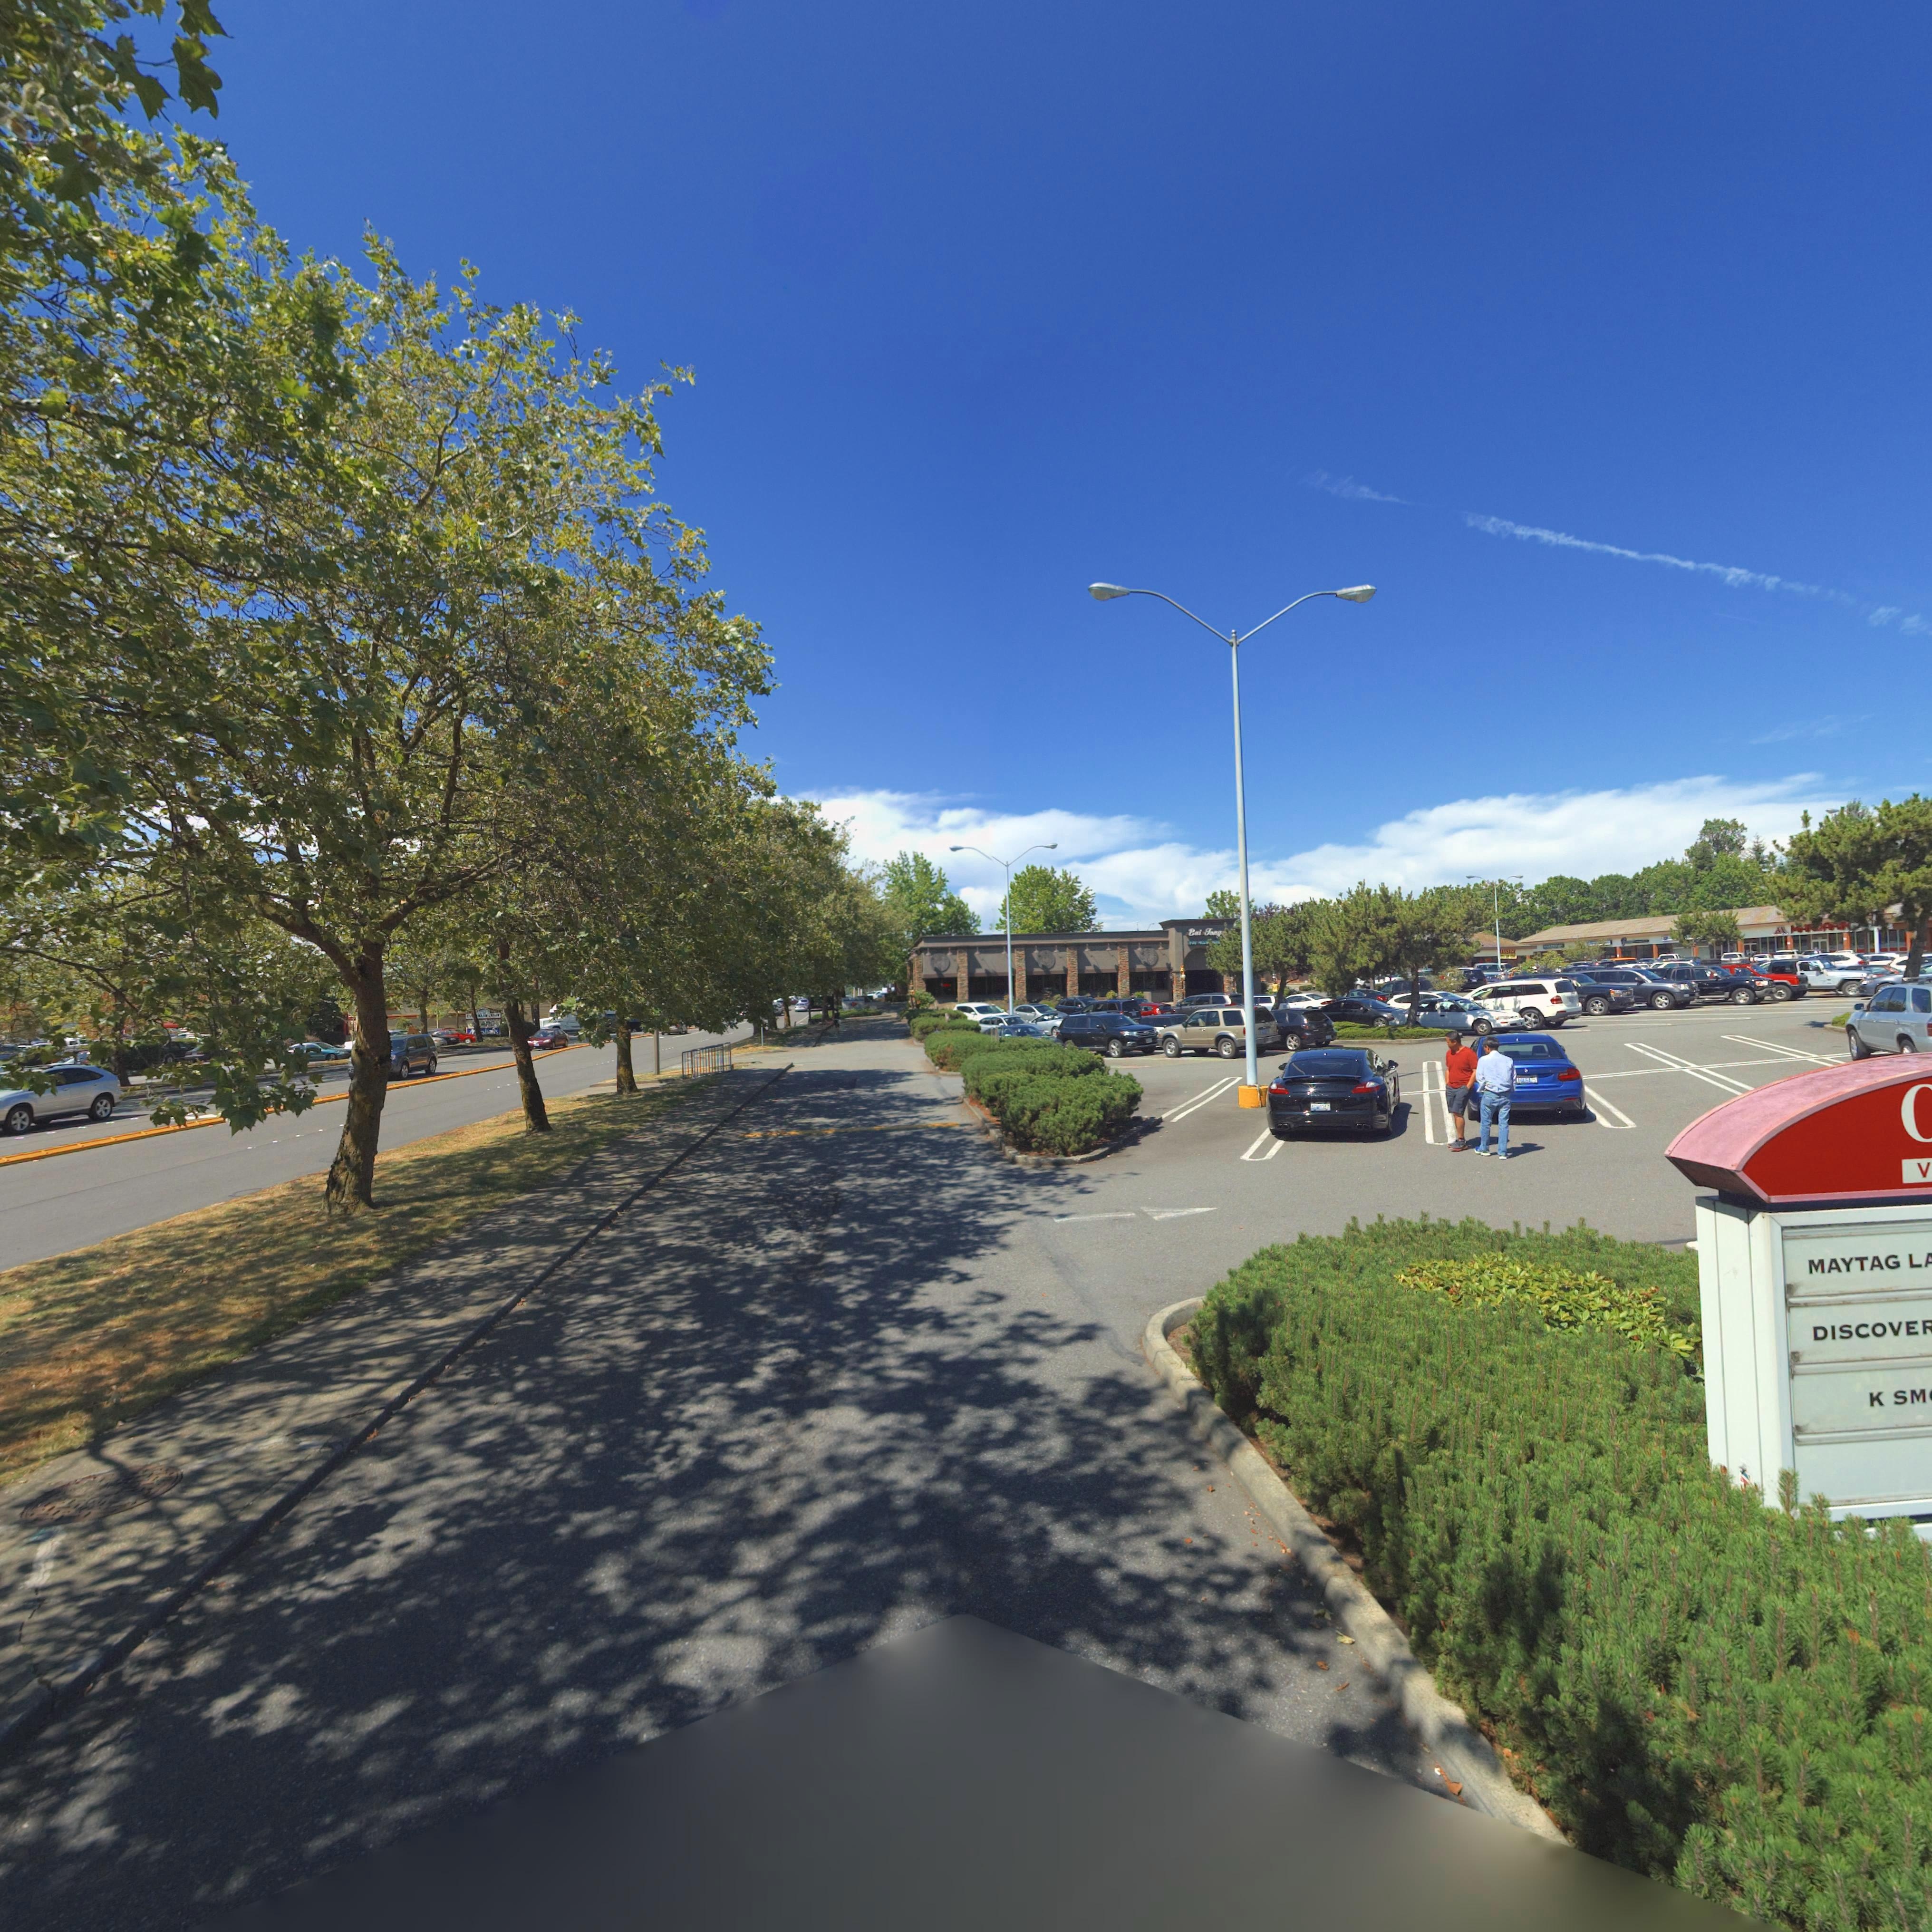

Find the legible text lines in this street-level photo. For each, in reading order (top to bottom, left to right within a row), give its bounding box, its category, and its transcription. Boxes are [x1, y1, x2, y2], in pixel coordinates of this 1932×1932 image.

[1806, 1251, 1922, 1274] BusinessName: MAYTAG L
[1811, 1320, 1922, 1341] BusinessName: DISCOVE
[1867, 1386, 1927, 1408] BusinessName: K SM